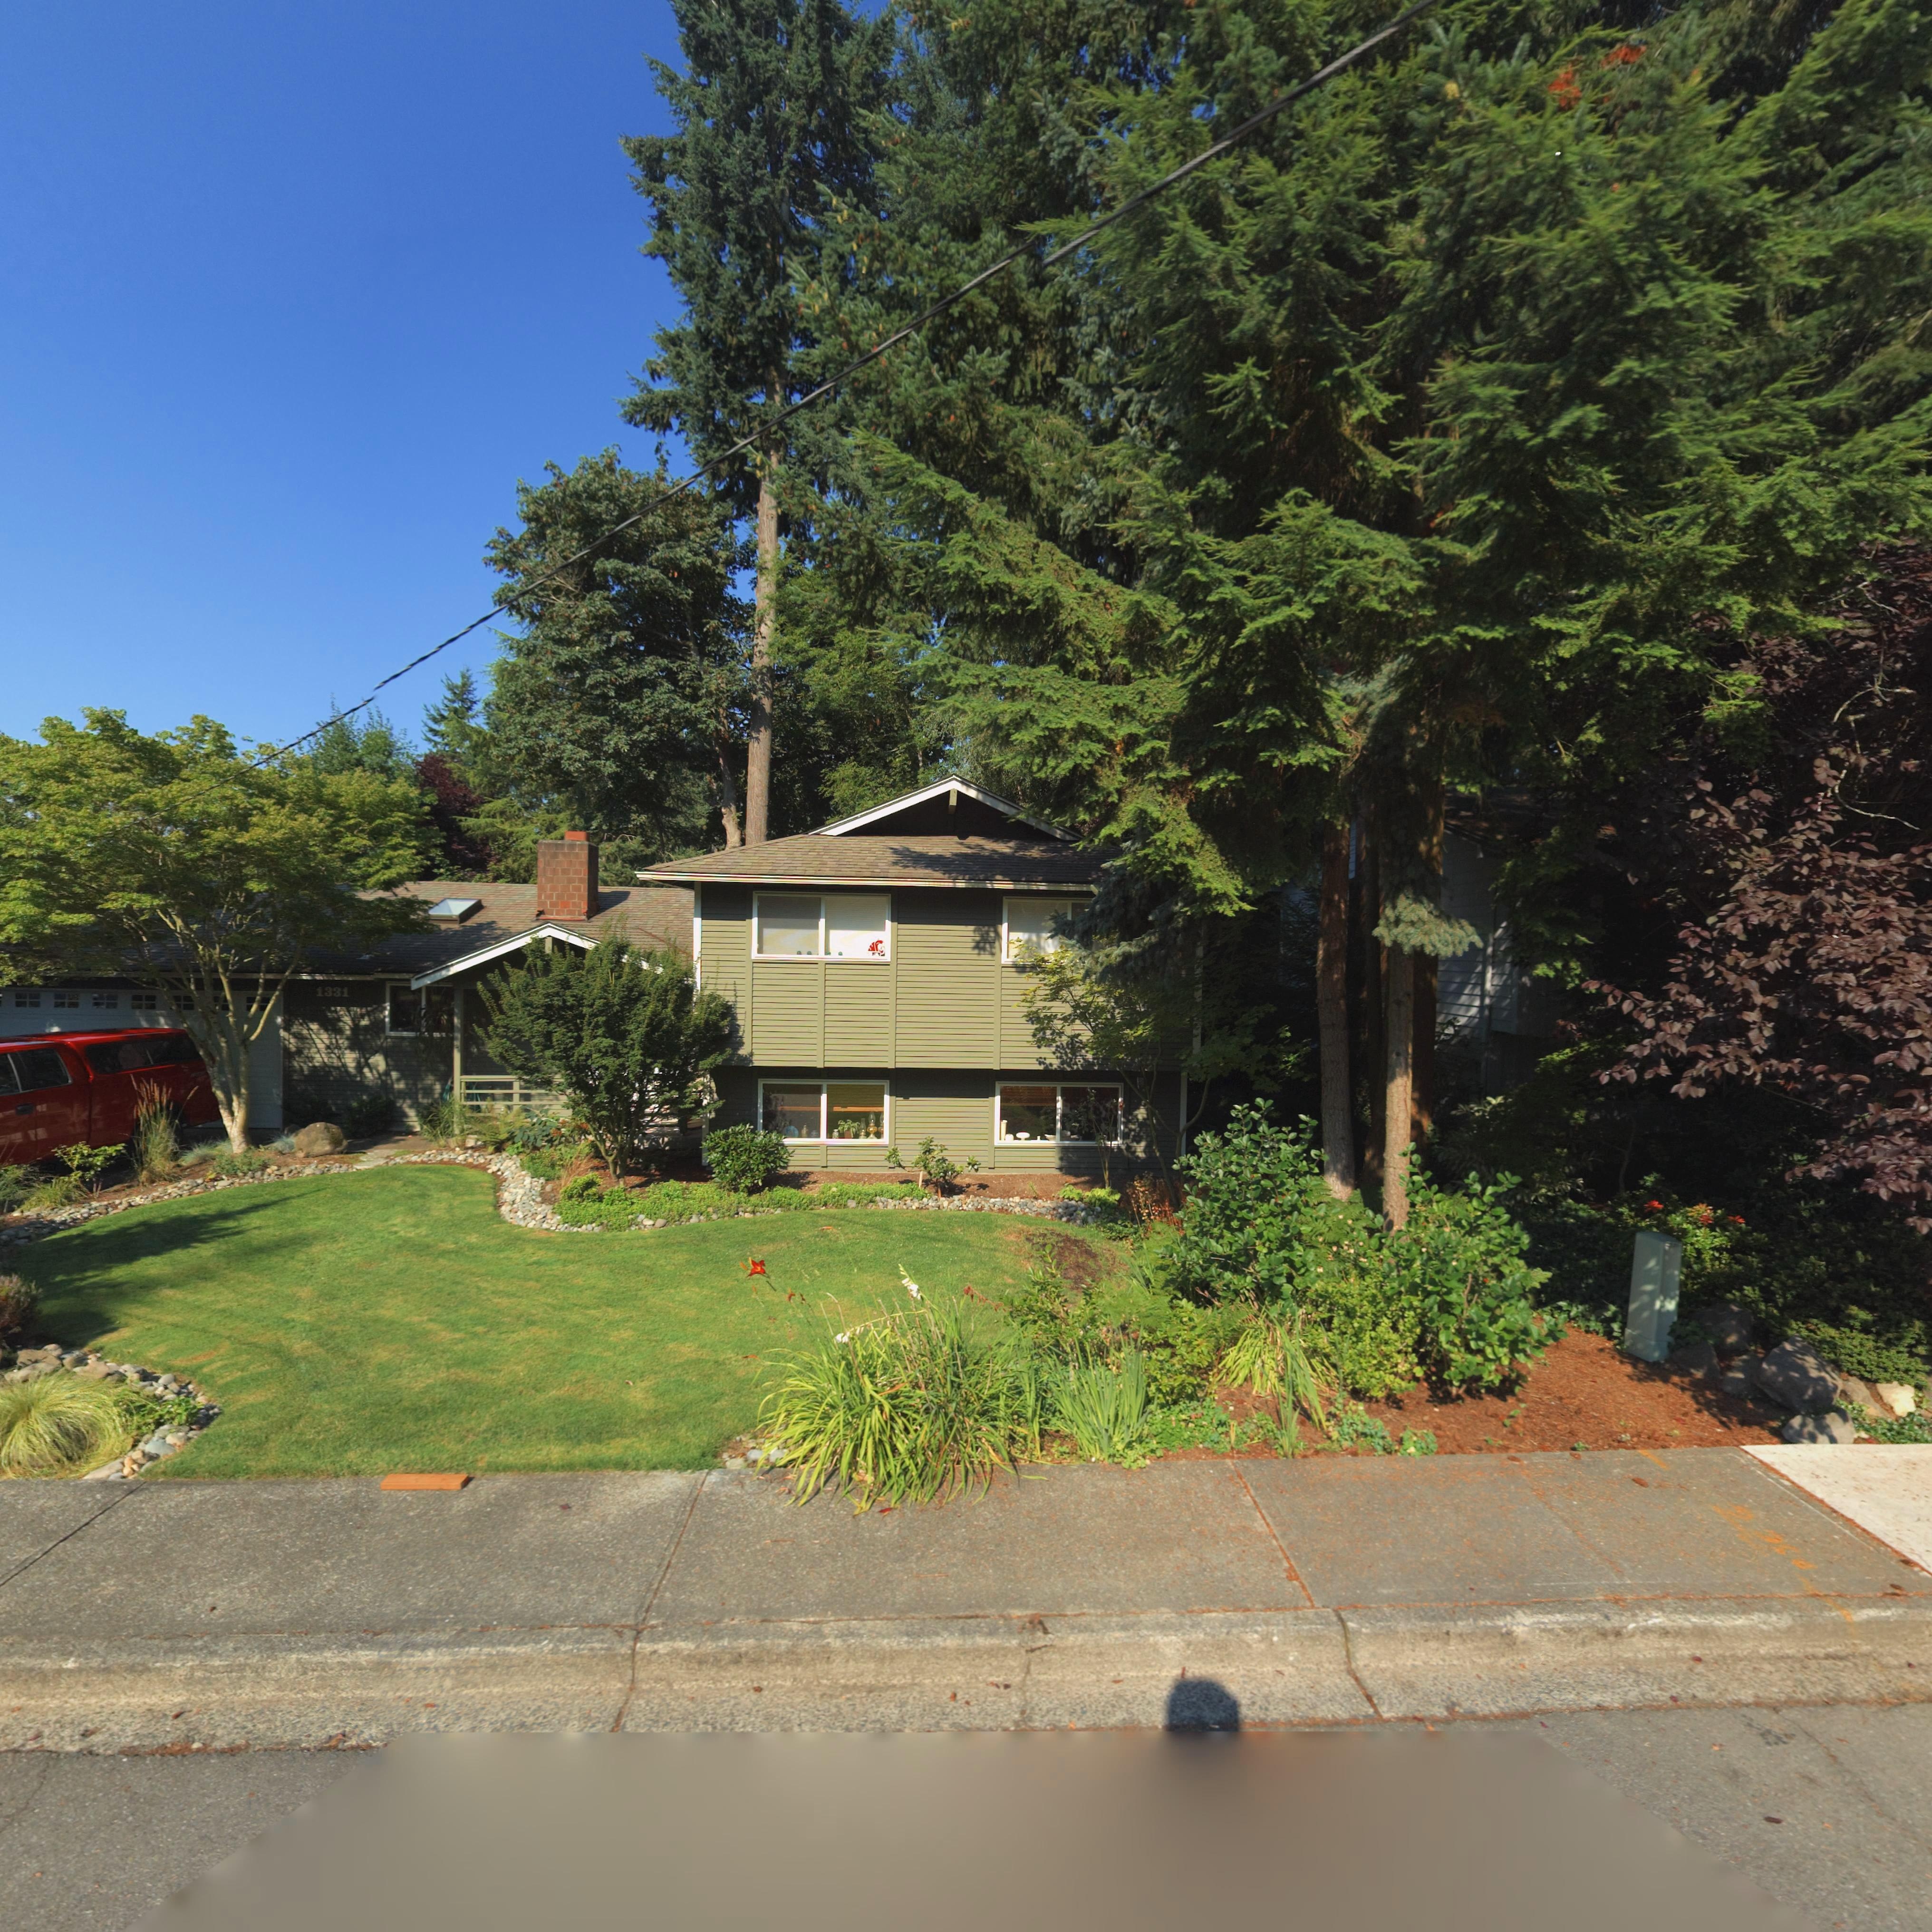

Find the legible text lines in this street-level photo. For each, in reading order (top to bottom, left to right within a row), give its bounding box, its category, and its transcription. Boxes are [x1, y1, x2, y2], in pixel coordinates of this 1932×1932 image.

[316, 987, 348, 996] StreetNumber: 1331